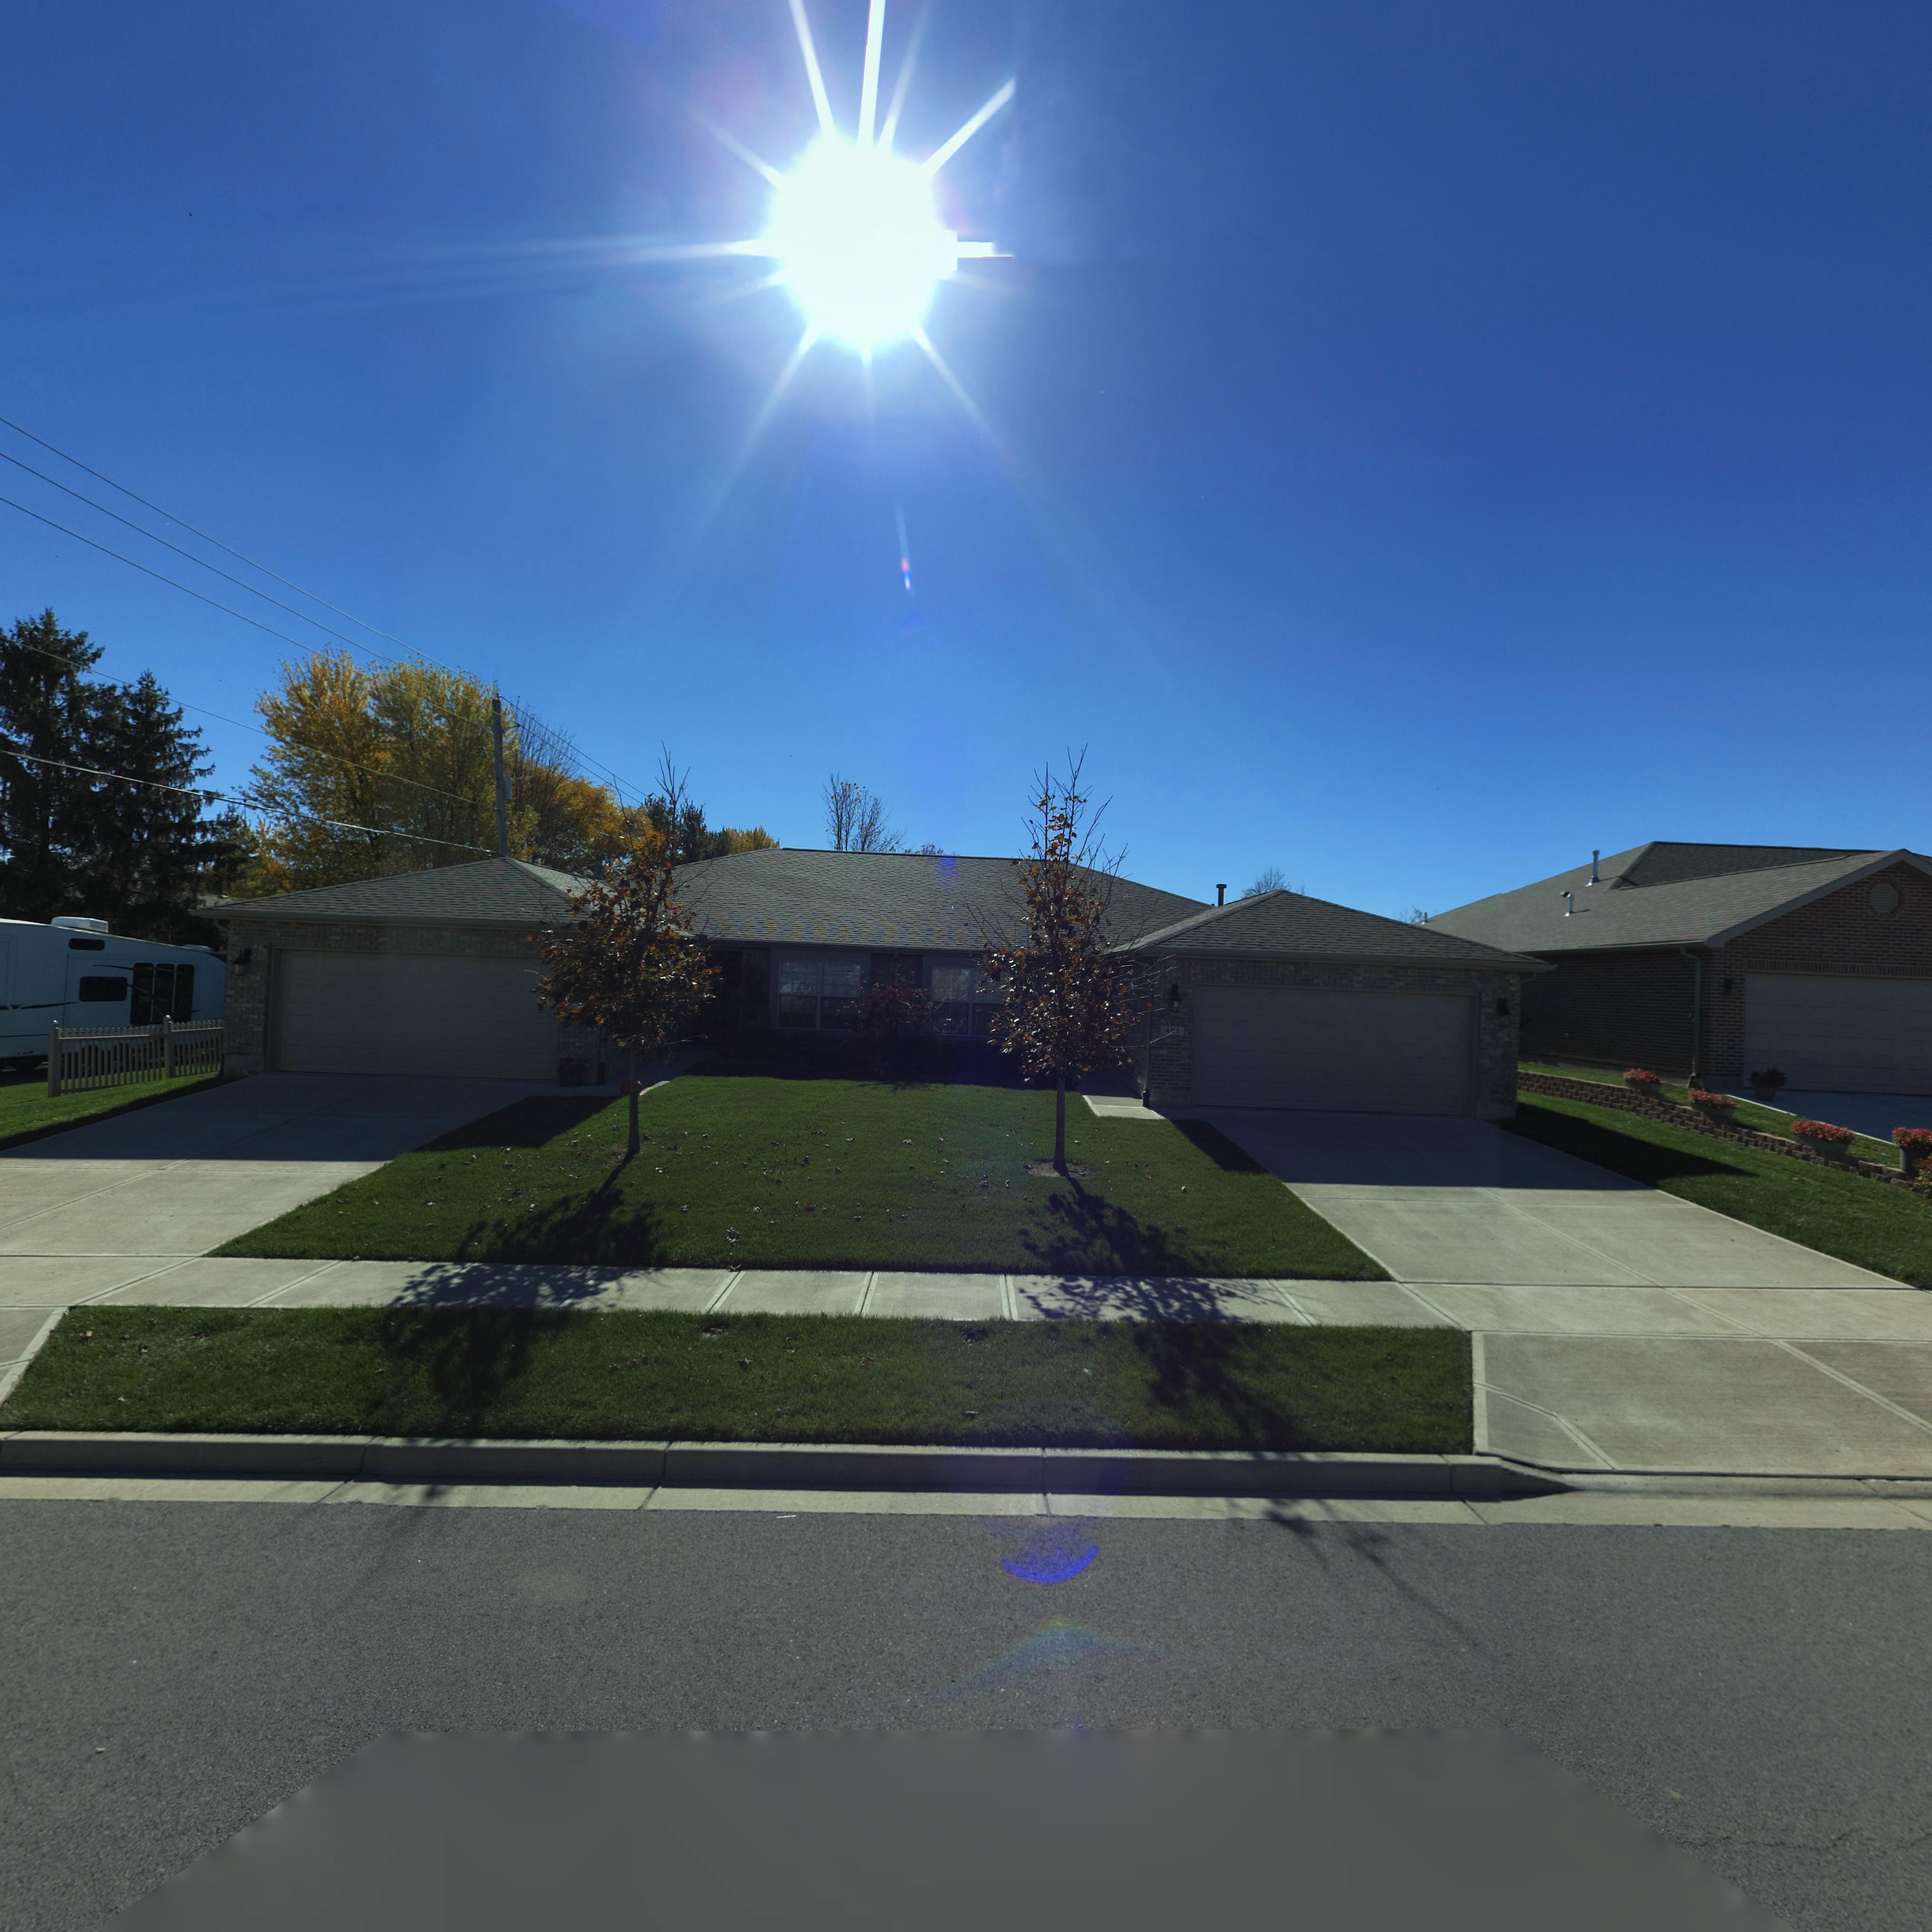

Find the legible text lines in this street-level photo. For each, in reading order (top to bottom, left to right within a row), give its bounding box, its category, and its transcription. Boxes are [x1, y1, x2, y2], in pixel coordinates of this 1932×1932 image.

[1165, 1027, 1181, 1034] StreetNumber: 4*7